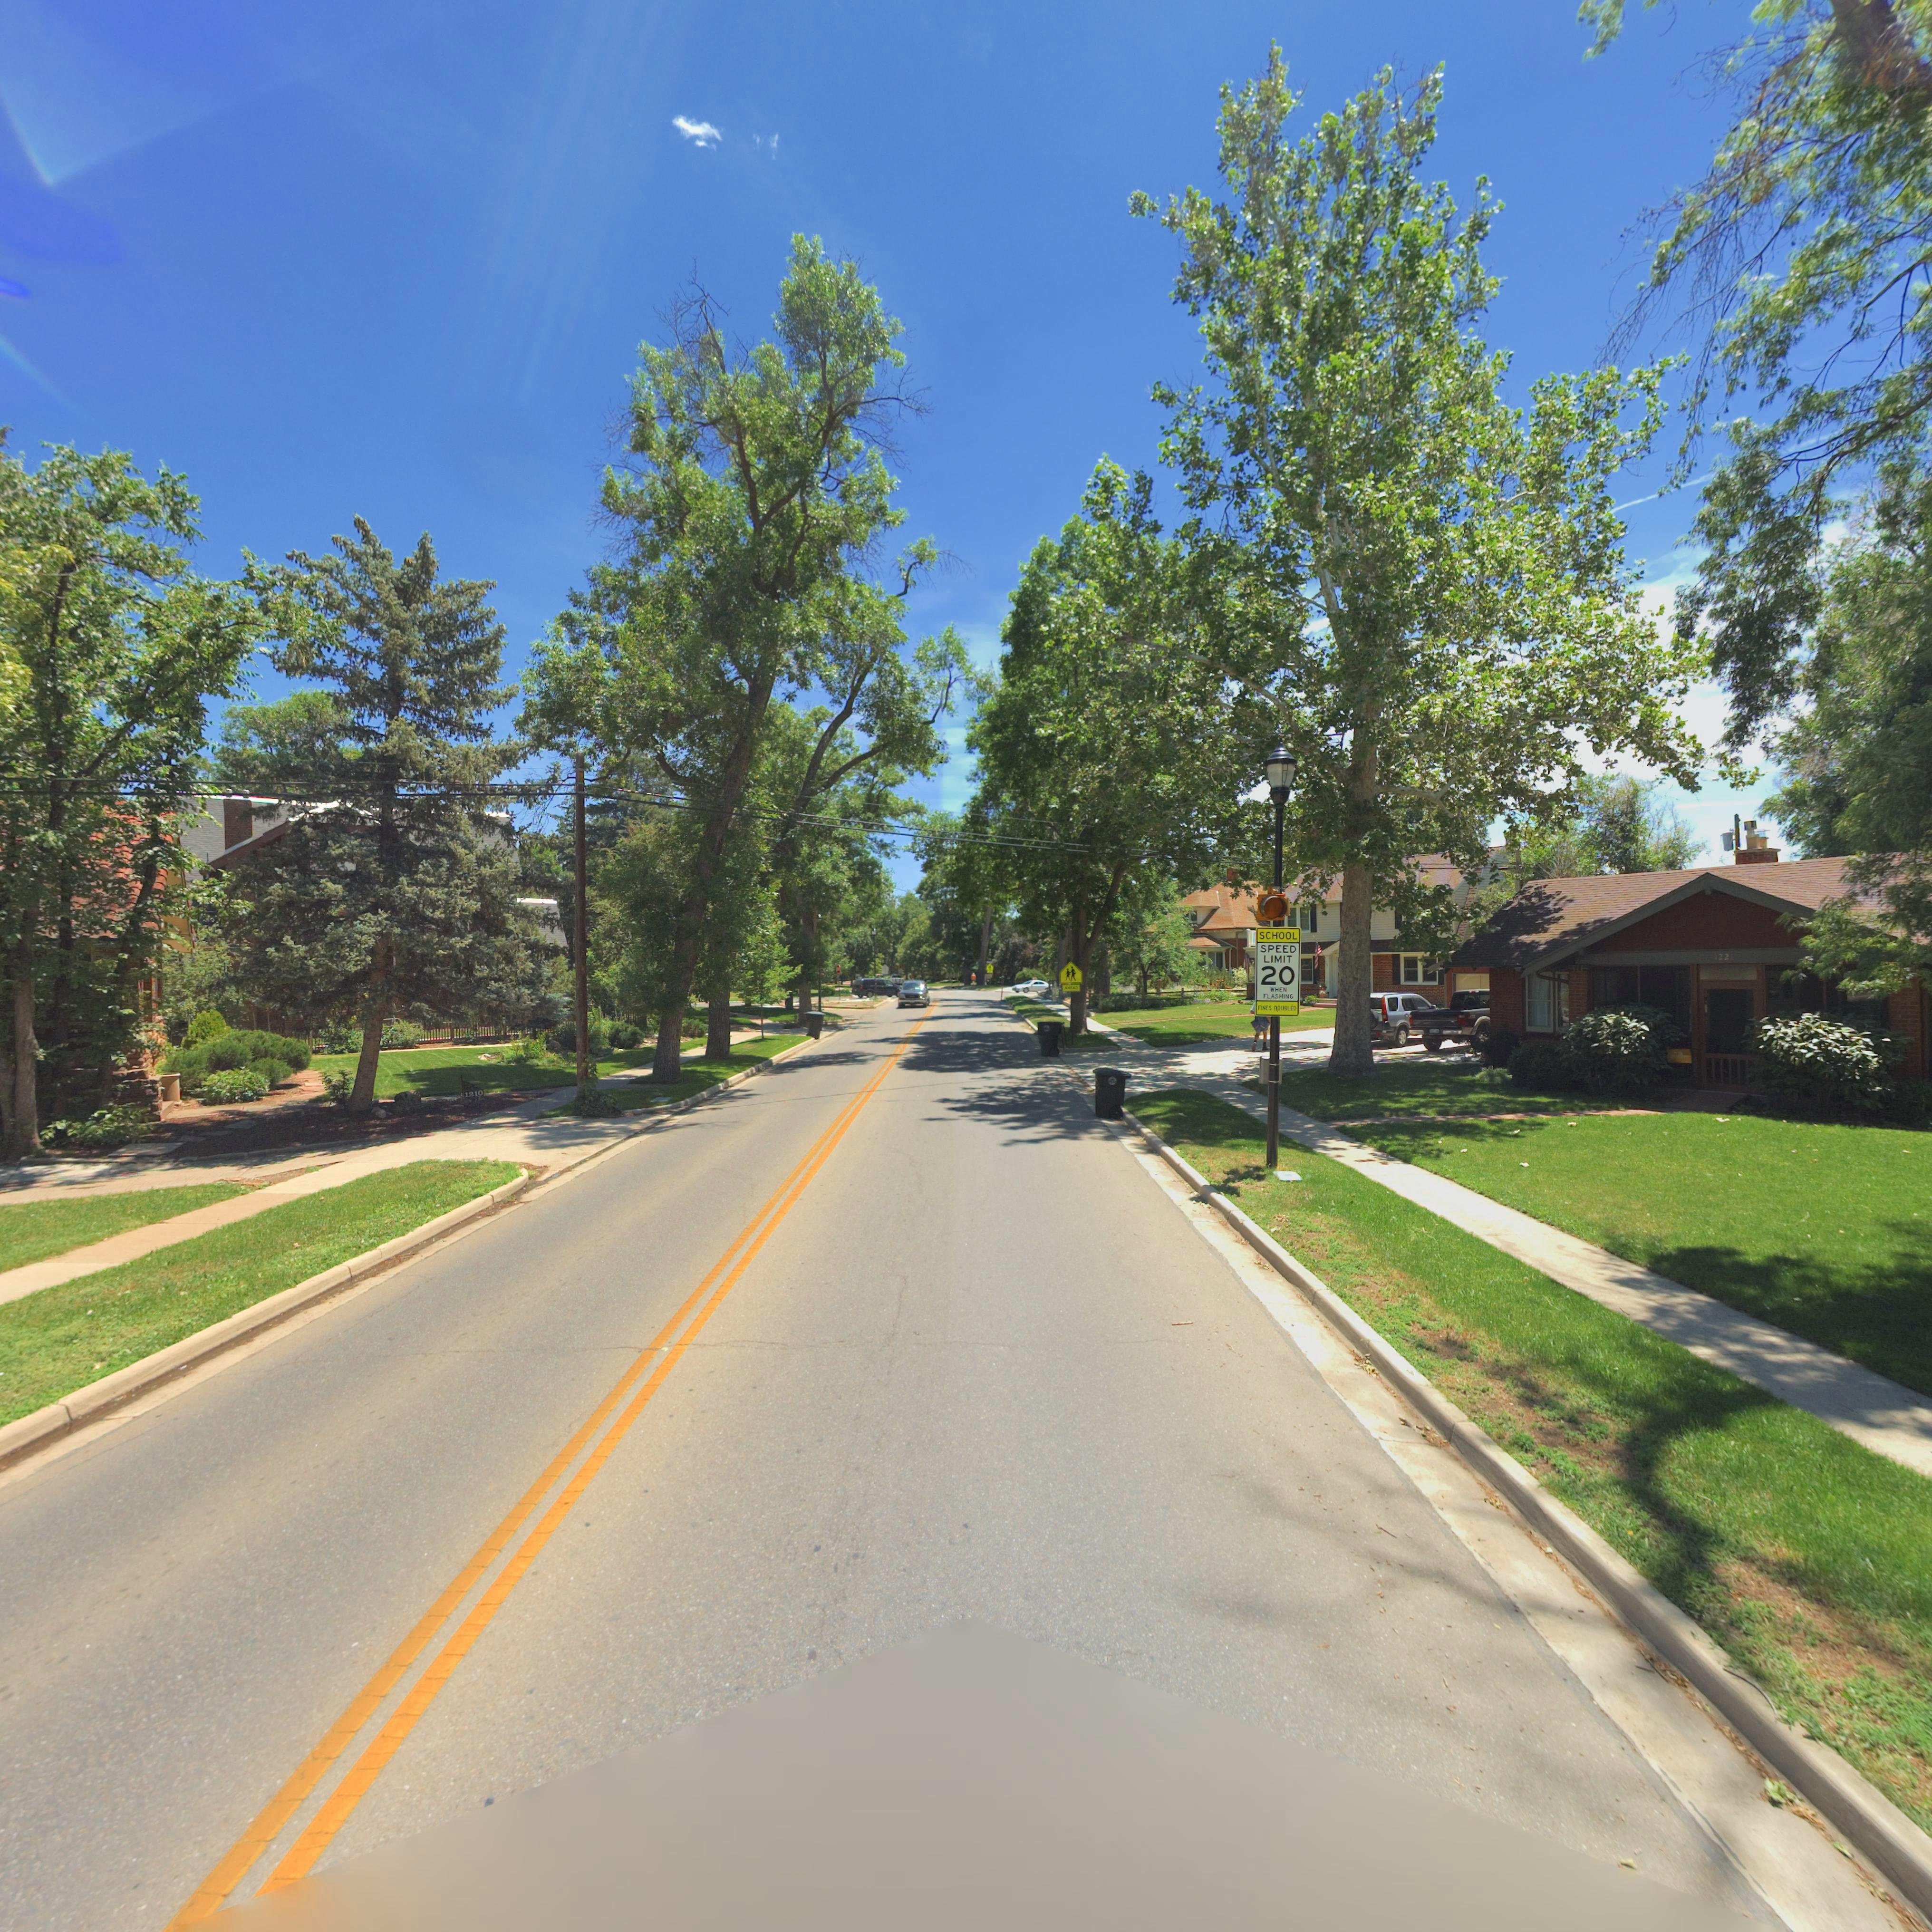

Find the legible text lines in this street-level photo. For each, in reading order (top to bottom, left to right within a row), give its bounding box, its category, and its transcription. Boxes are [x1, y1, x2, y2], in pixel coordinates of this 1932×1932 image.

[1714, 953, 1729, 960] StreetNumber: 122
[464, 1090, 483, 1097] StreetNumber: 1210